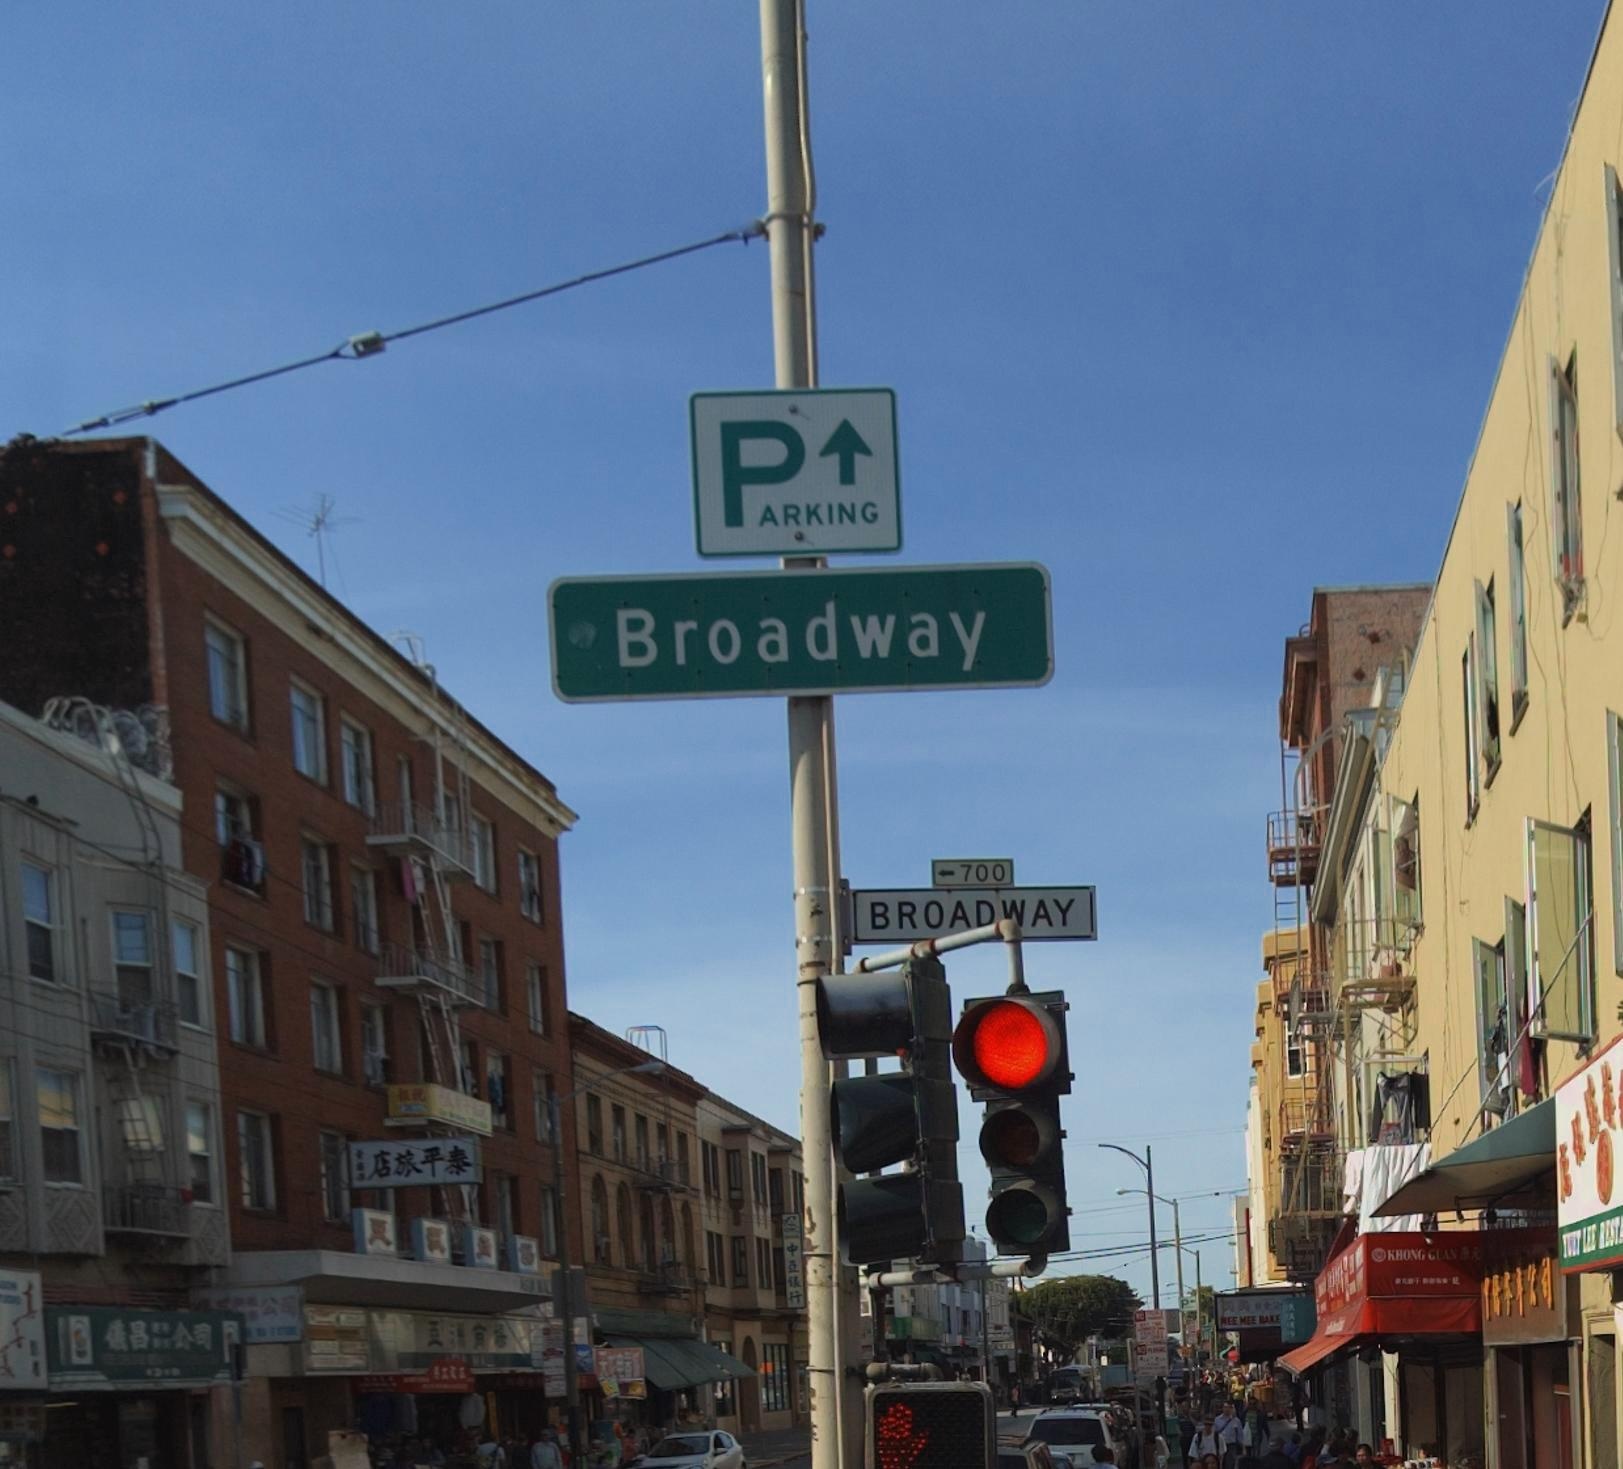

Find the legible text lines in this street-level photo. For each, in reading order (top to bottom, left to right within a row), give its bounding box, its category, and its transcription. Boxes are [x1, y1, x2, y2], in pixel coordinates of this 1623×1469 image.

[715, 414, 812, 534] None: P
[752, 496, 885, 531] None: ARKING
[609, 590, 998, 677] StreetName: Broadway
[934, 860, 1008, 886] StreetNumberRange: <-700
[867, 894, 1081, 933] StreetName: BROADWAY
[1384, 1245, 1460, 1264] BusinessName: KHONG CLAN
[1179, 1297, 1191, 1310] None: P
[1218, 1312, 1283, 1328] BusinessName: *EE *EE BAKE